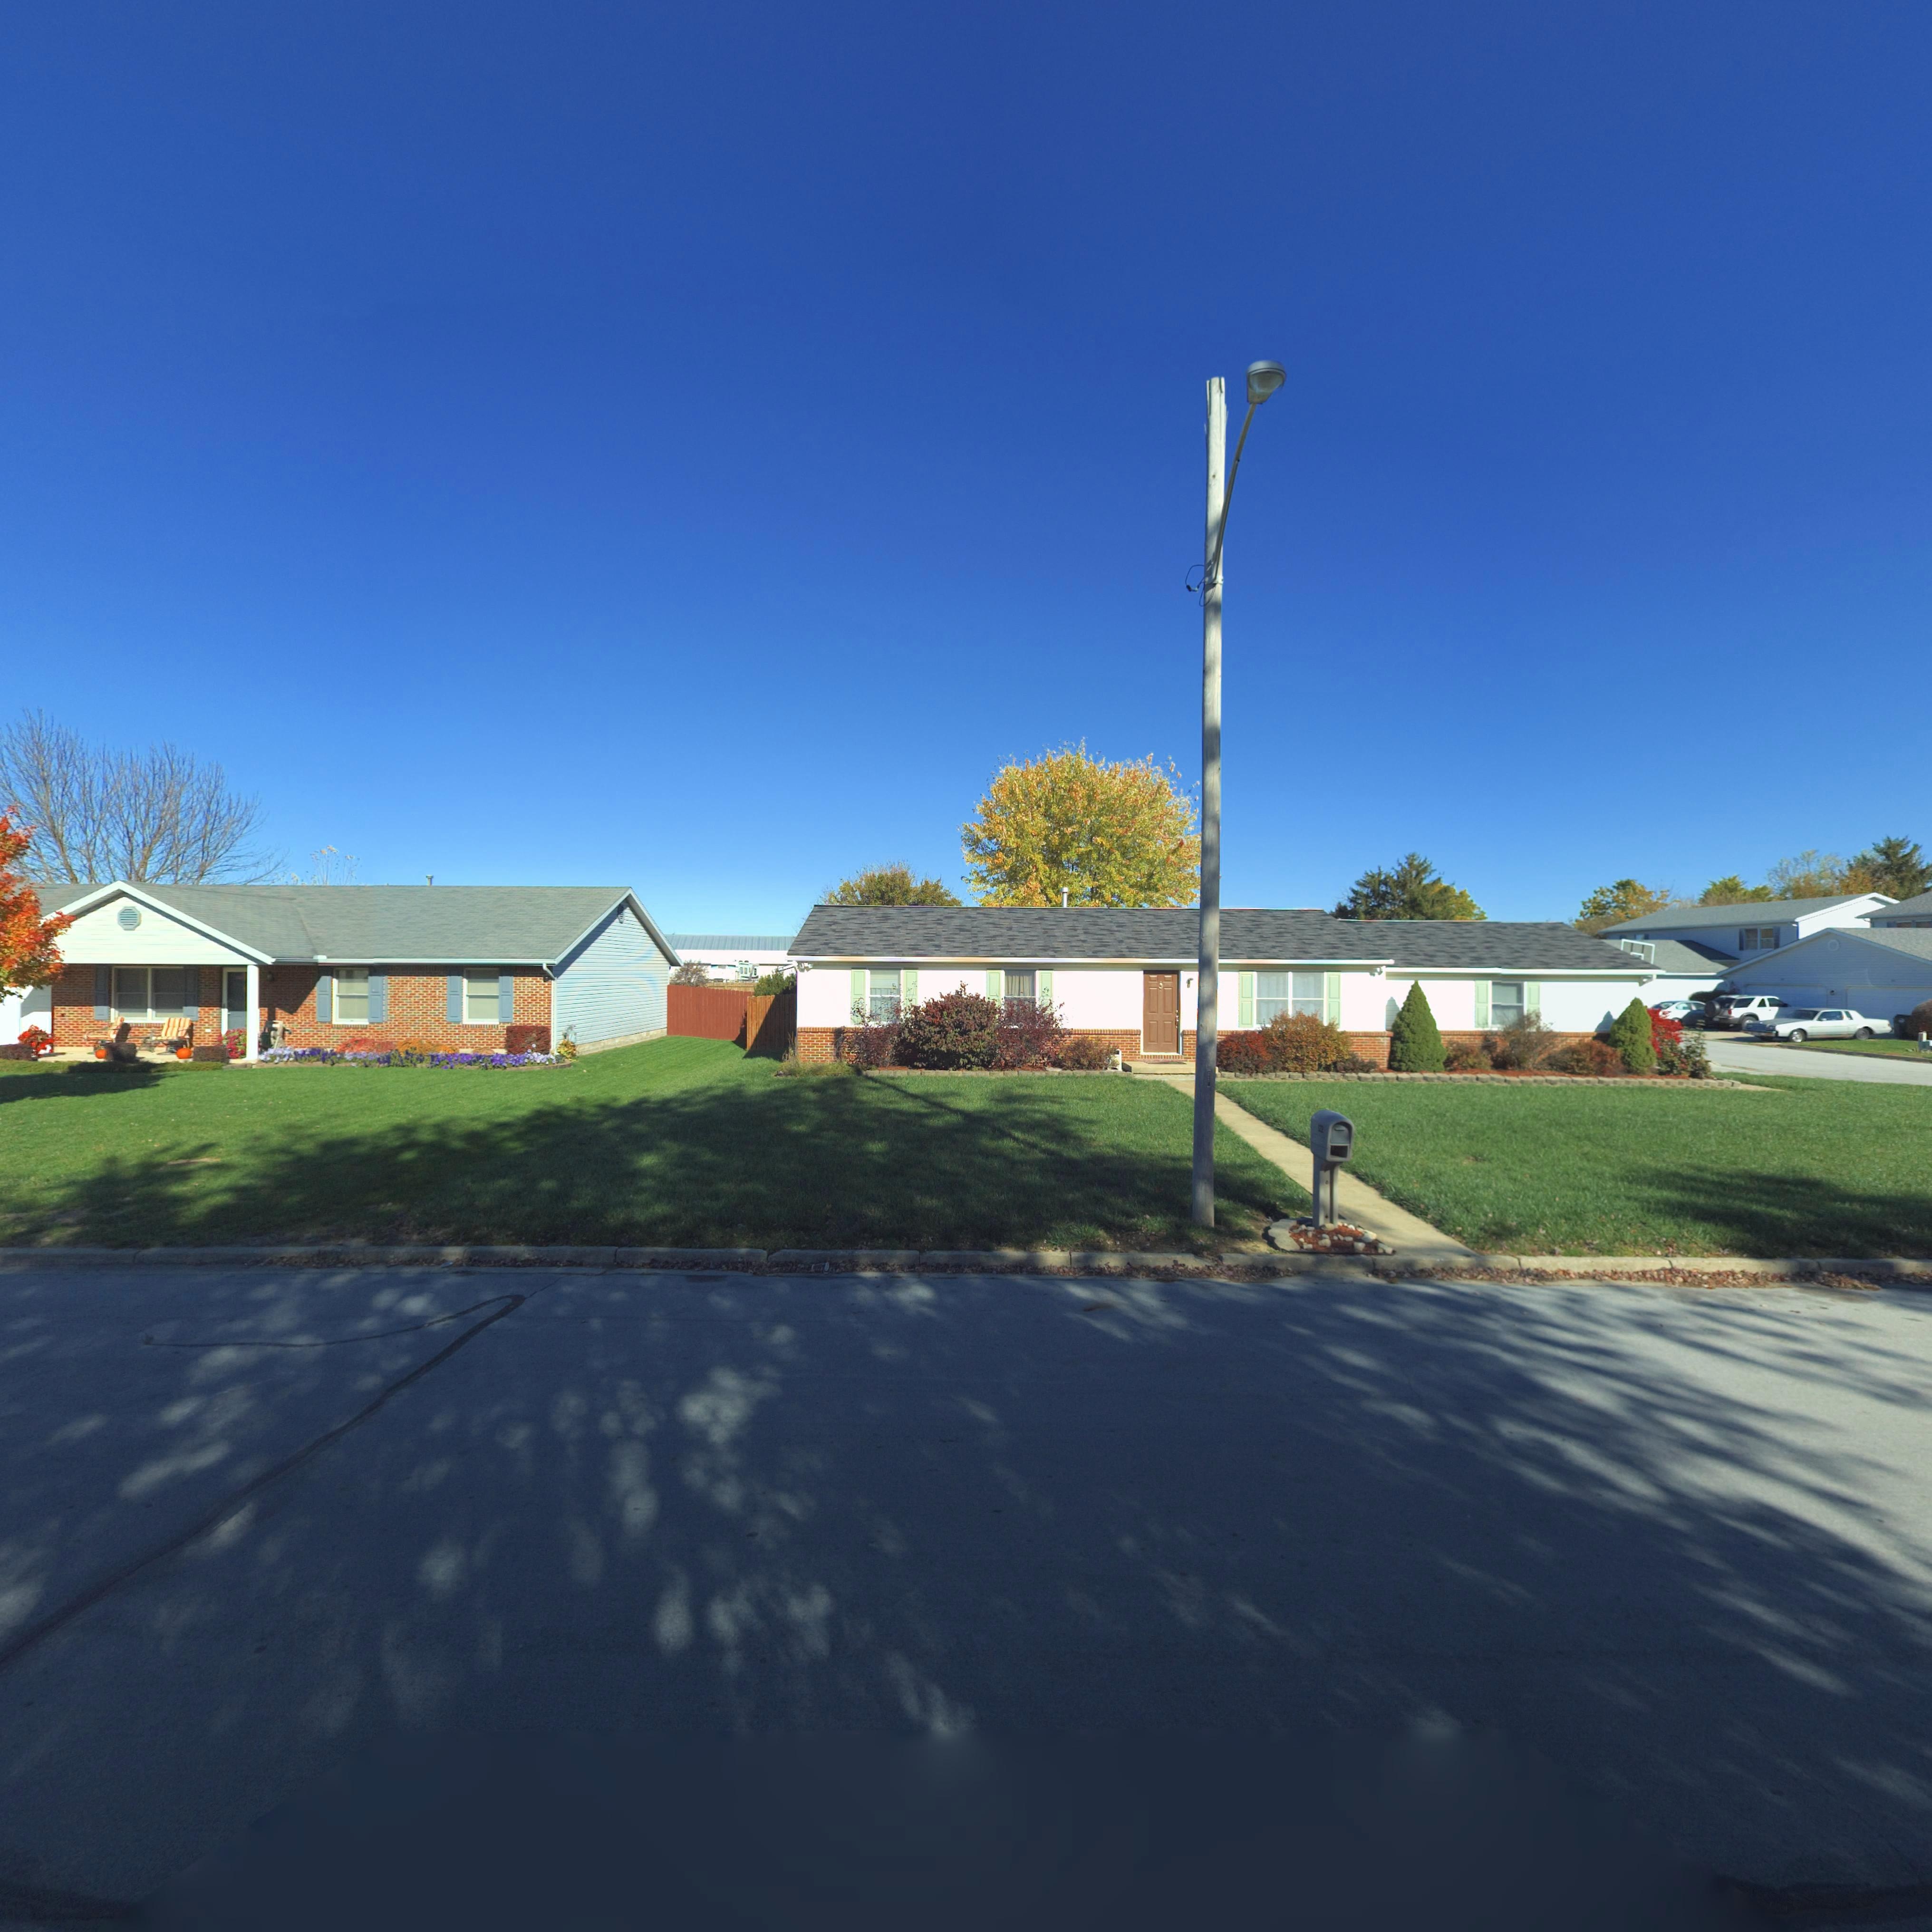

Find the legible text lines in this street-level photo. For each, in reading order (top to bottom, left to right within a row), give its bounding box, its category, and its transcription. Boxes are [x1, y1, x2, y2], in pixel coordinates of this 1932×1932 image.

[1317, 1123, 1324, 1134] StreetNumber: 122